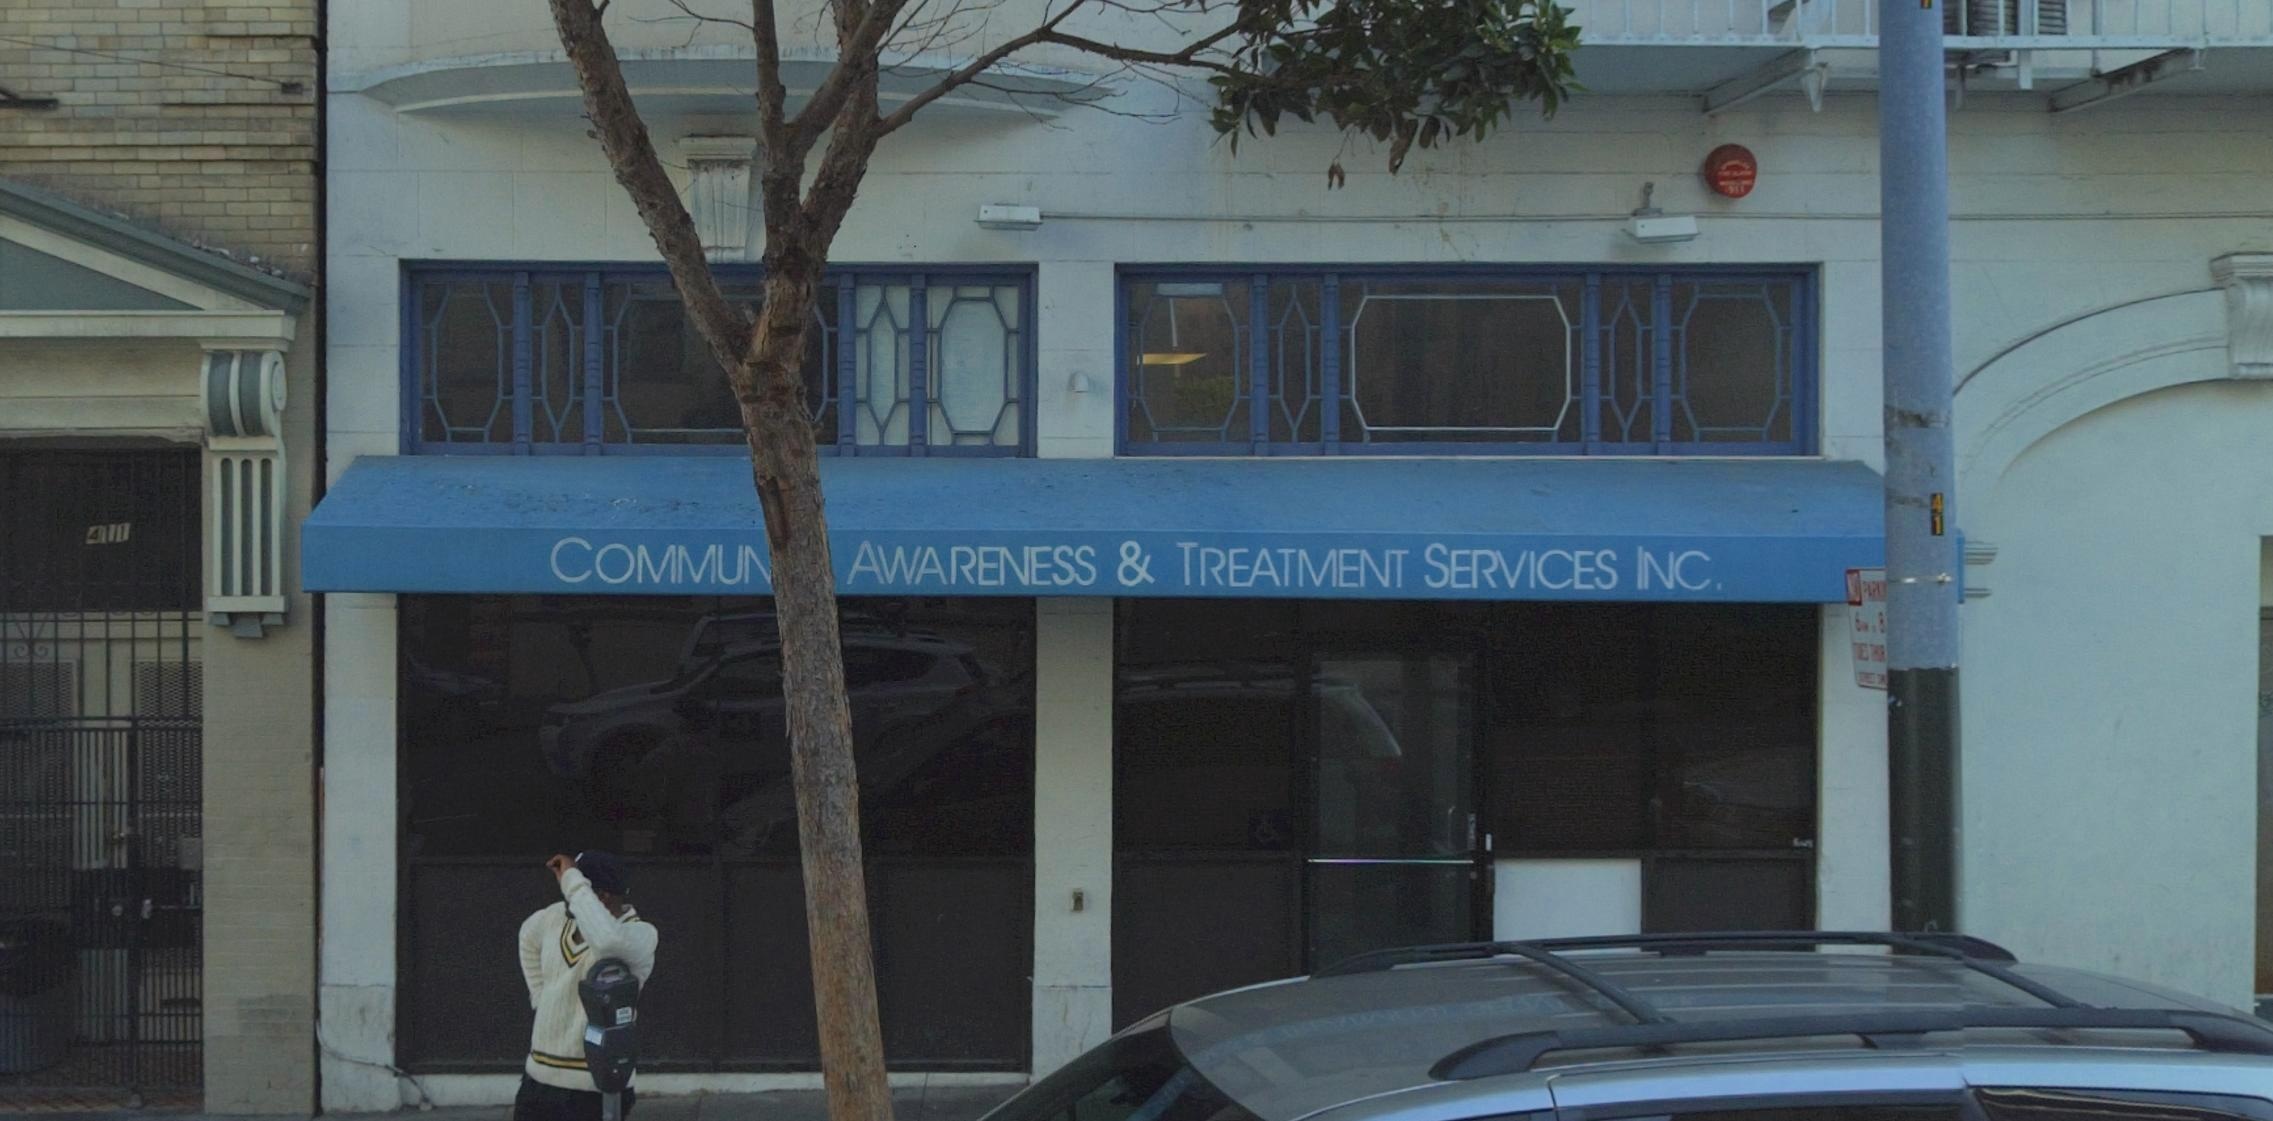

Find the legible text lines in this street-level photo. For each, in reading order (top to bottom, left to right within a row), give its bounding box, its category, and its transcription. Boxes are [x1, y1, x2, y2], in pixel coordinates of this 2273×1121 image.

[1928, 489, 1945, 537] None: 41
[83, 522, 129, 547] StreetNumber: 4*1
[544, 532, 1729, 595] BusinessName: COMMU**AWARENESS & TREATMENT SERVICES INC.
[1849, 570, 1872, 605] None: O P
[1851, 607, 1867, 636] None: 6
[1873, 609, 1889, 637] None: 8